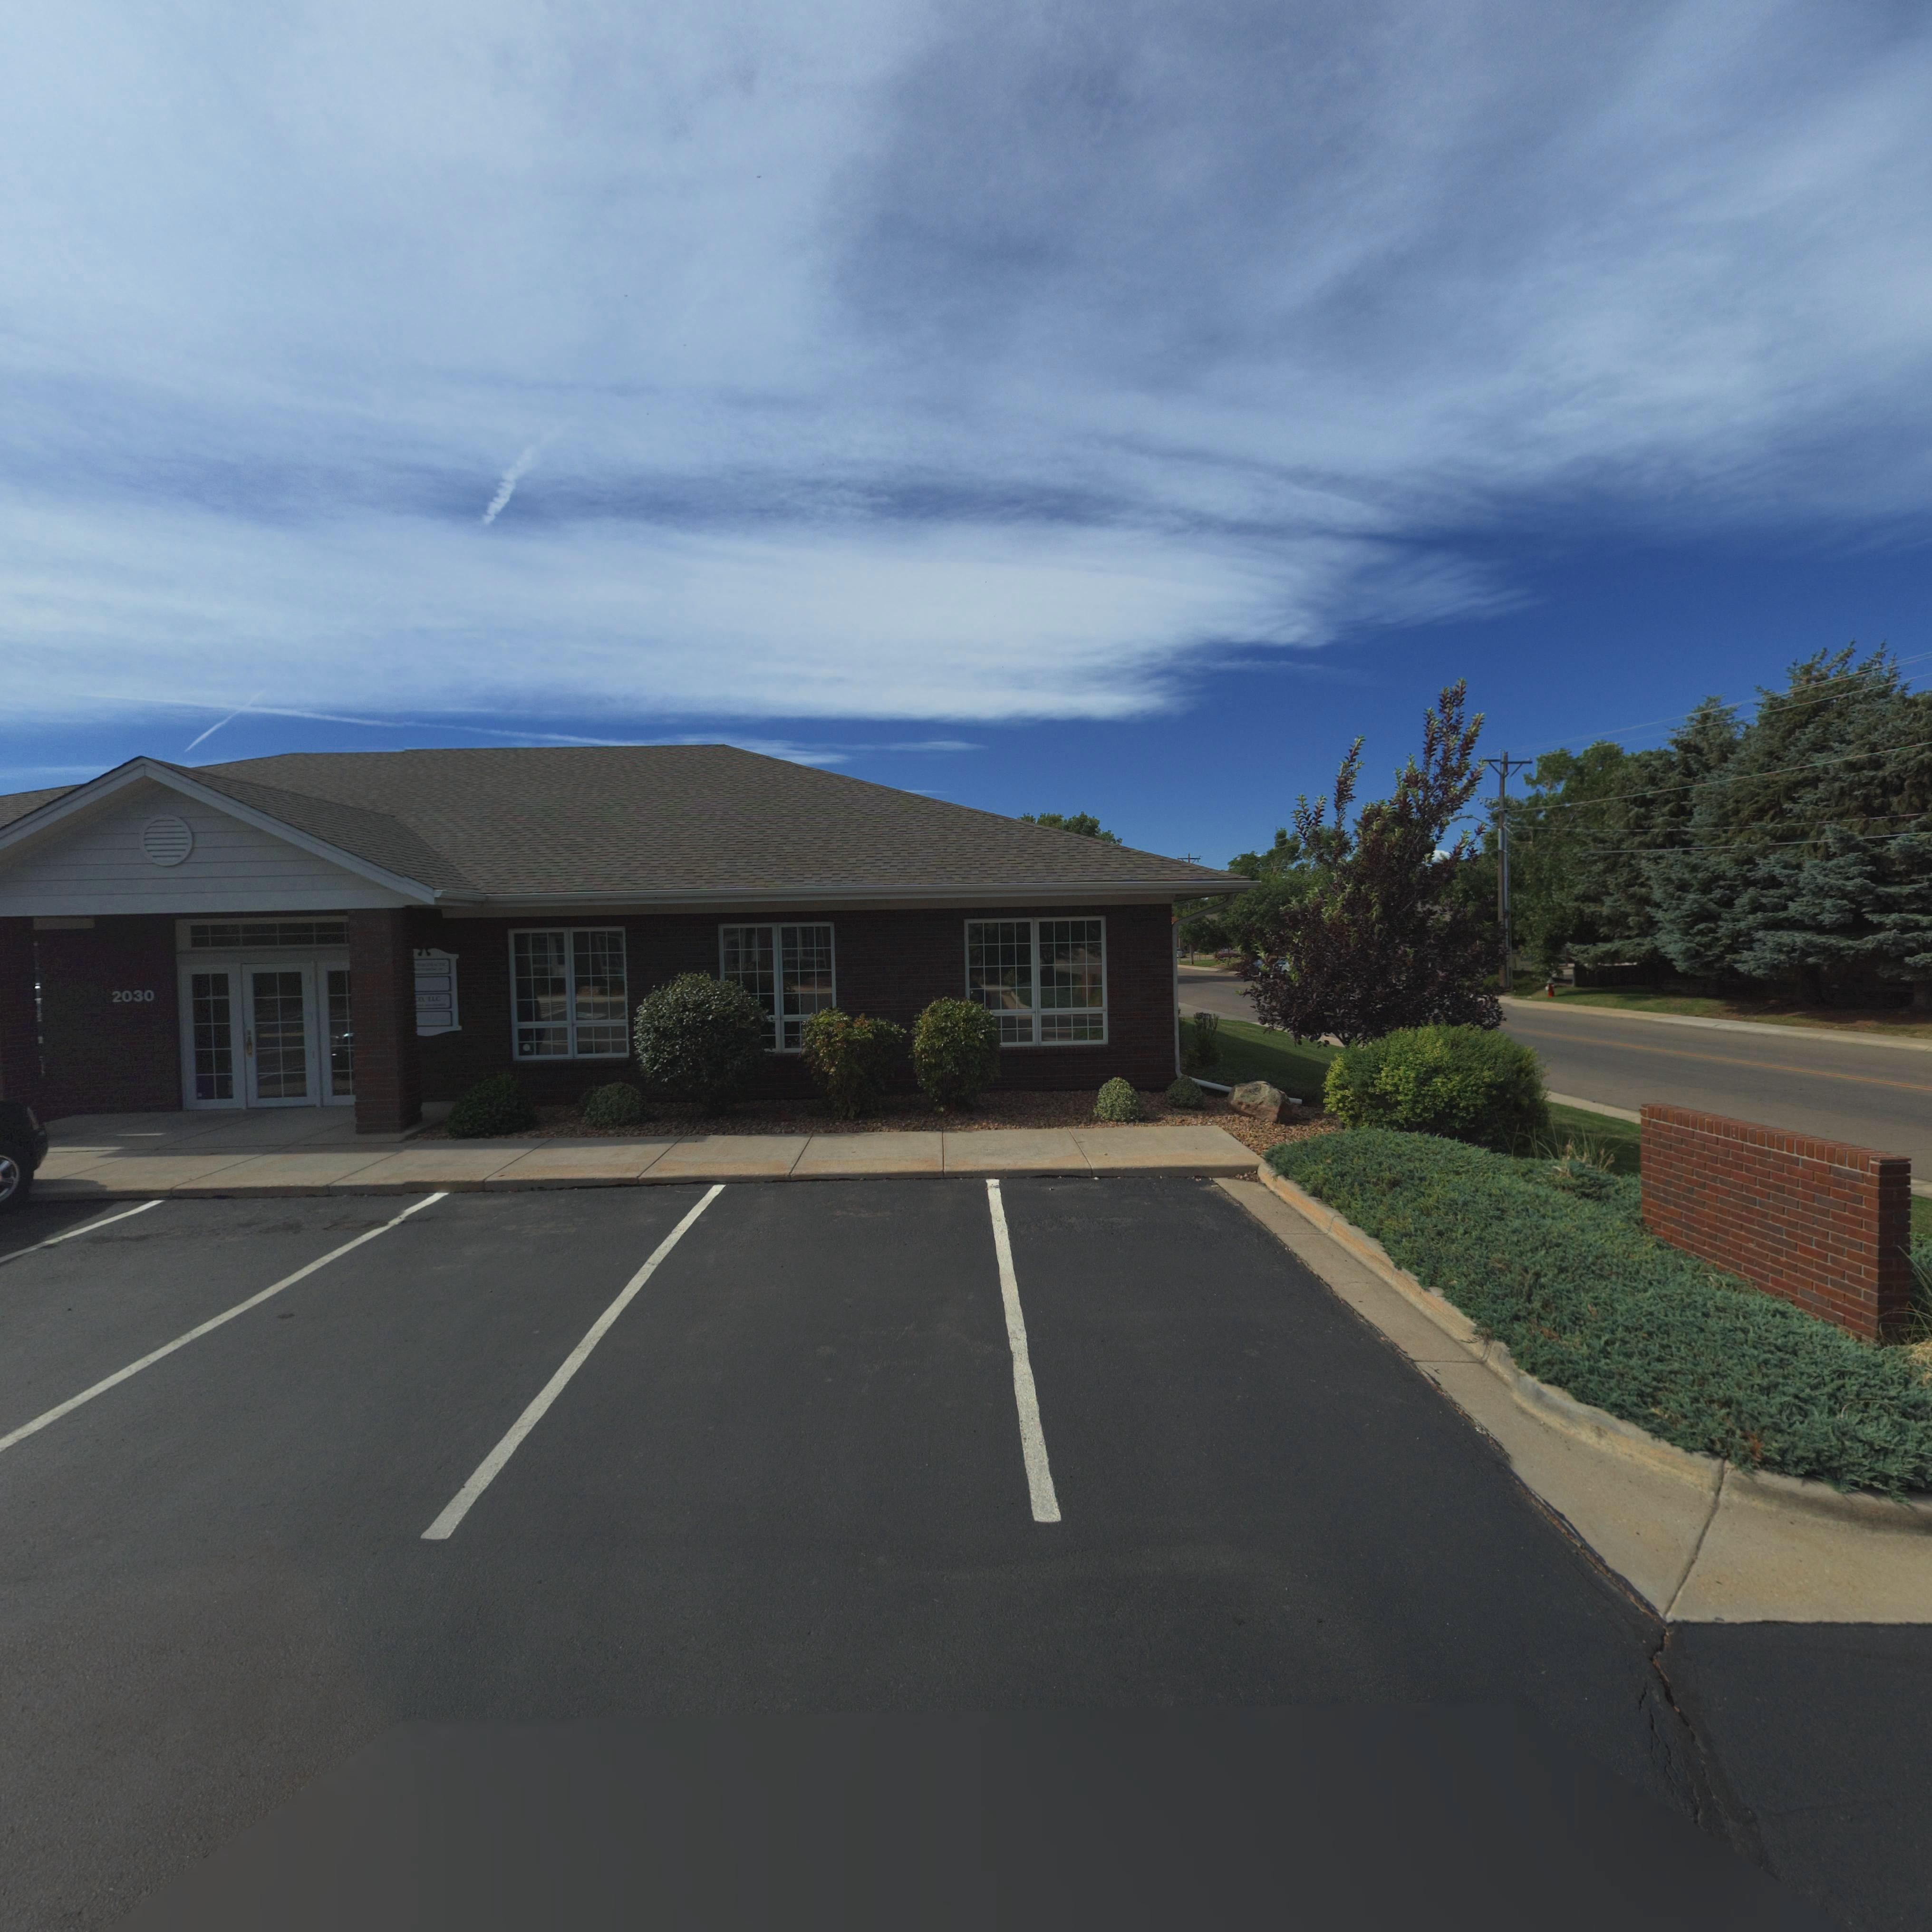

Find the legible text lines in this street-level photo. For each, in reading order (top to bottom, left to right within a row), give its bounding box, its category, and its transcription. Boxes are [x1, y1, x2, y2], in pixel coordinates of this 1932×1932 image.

[111, 989, 155, 1004] StreetNumber: 2030
[414, 995, 441, 1003] BusinessName: *O LLC